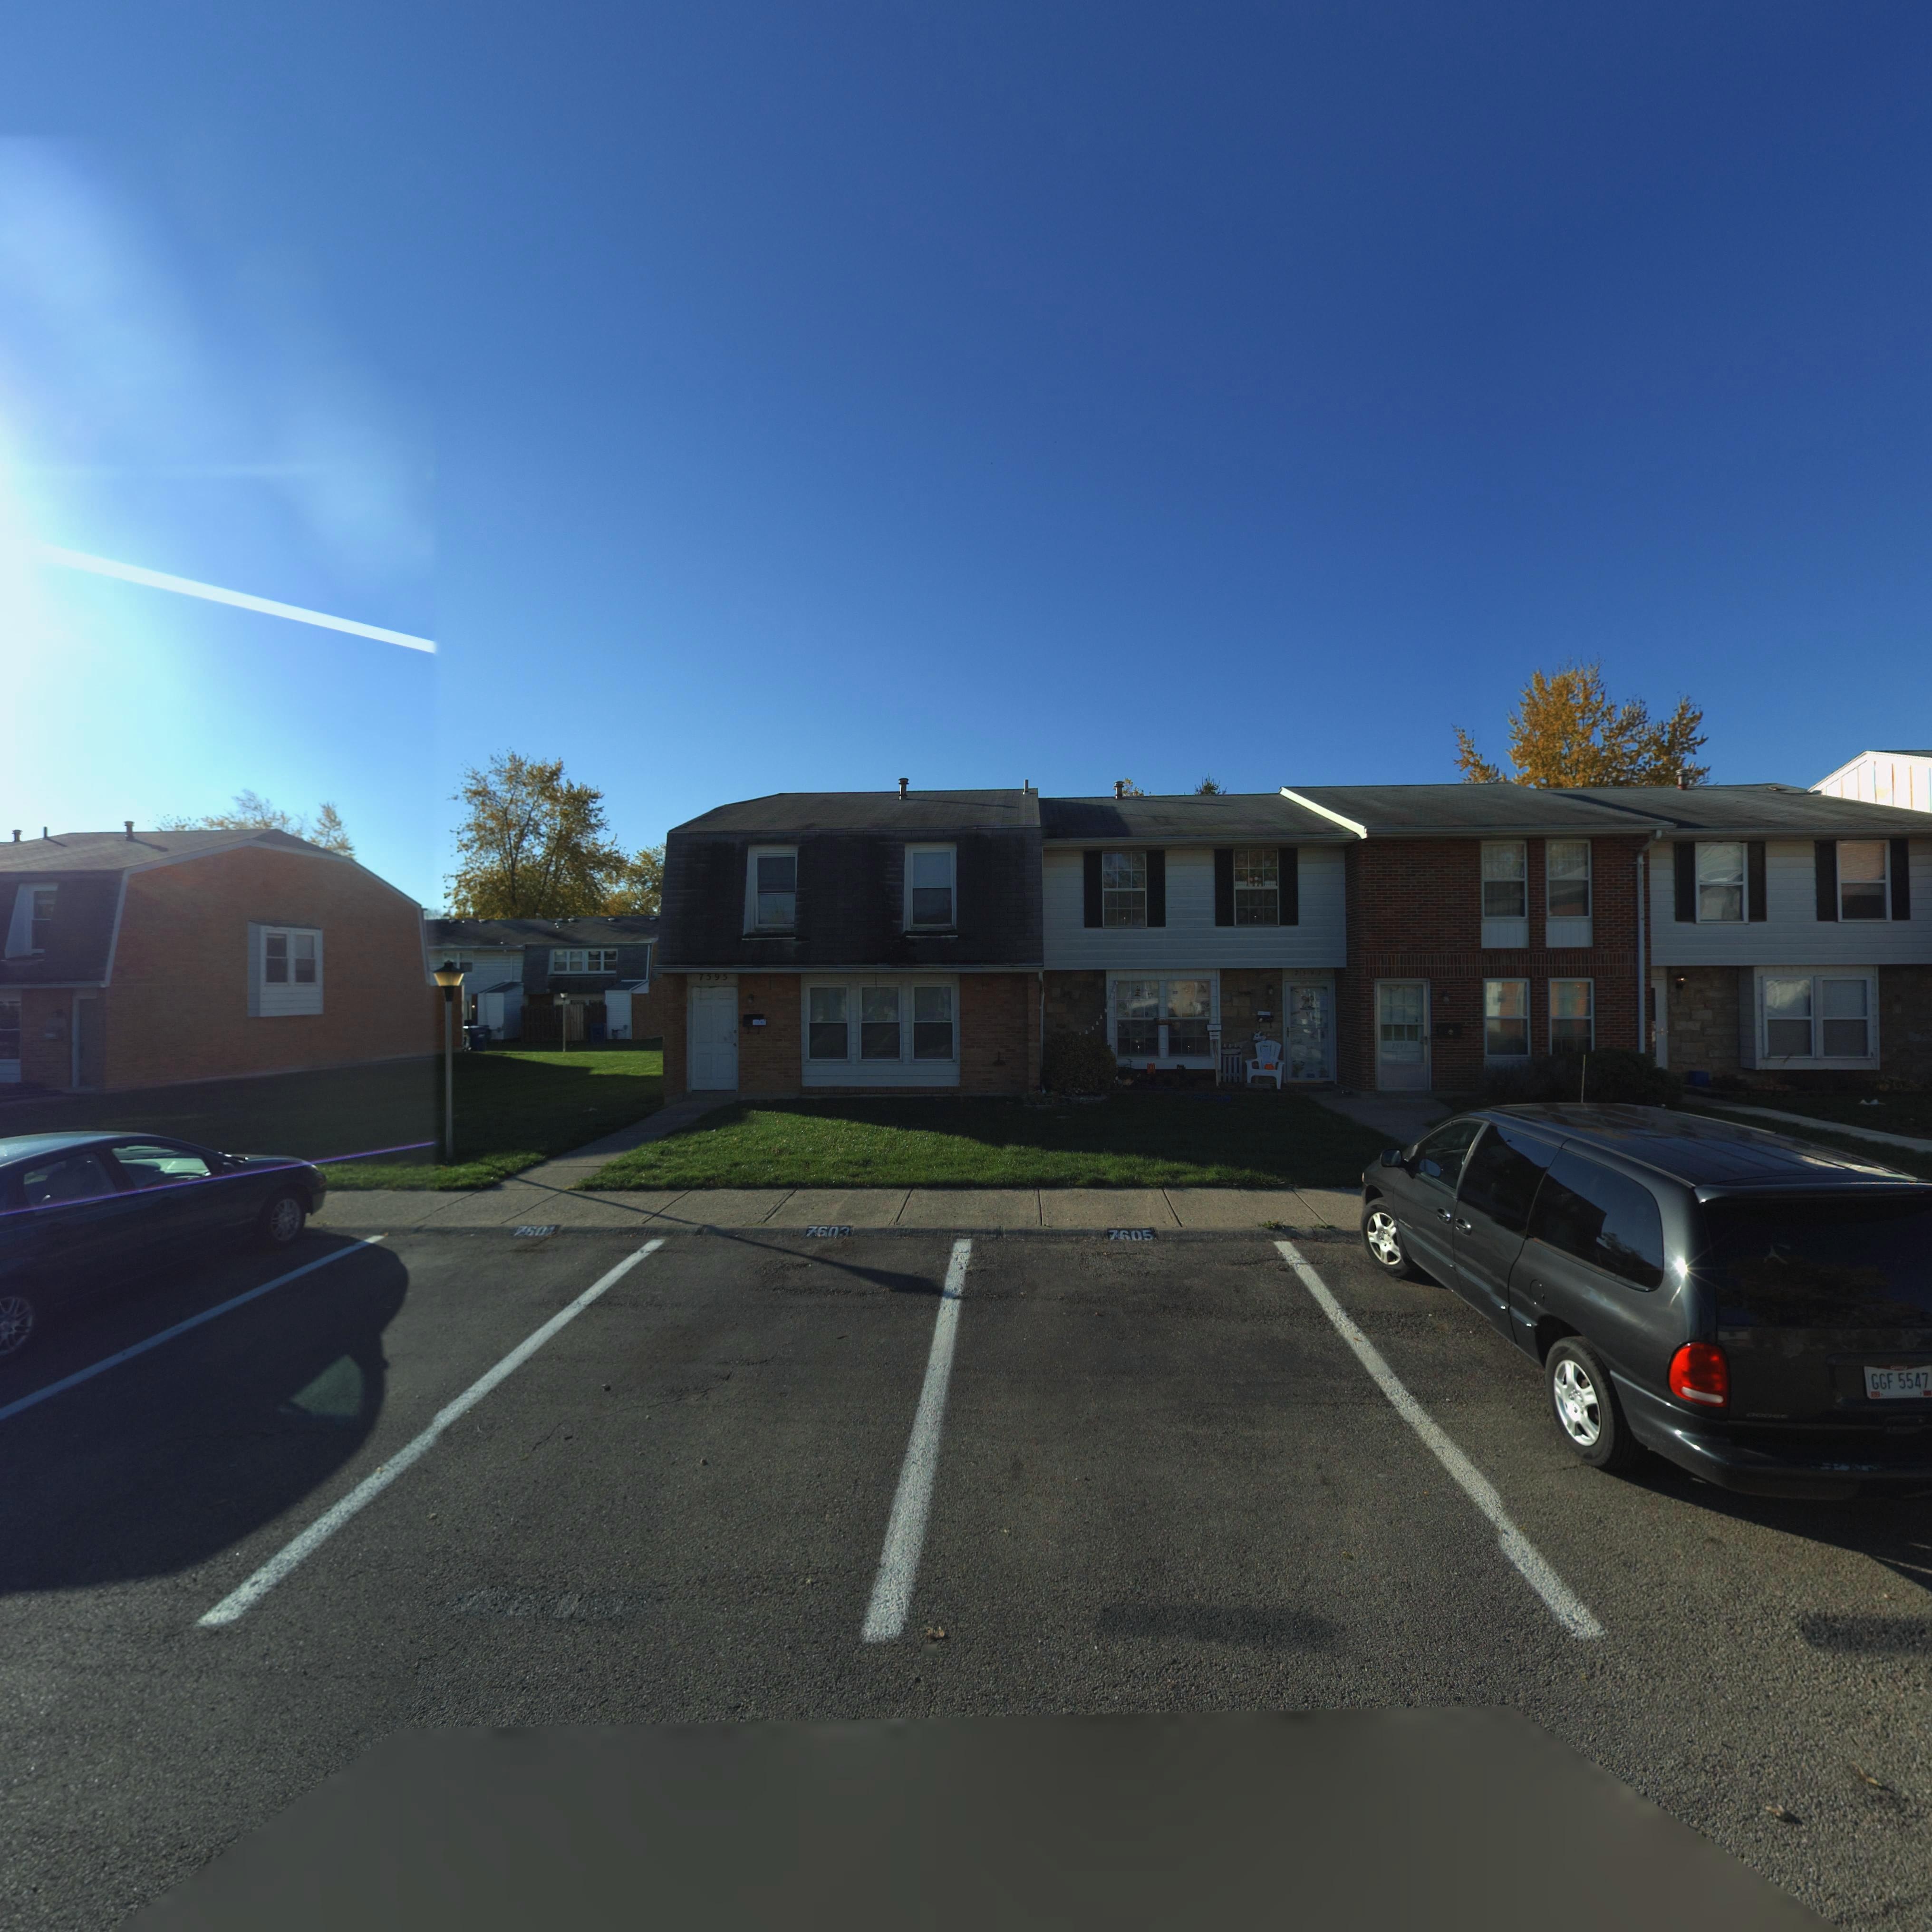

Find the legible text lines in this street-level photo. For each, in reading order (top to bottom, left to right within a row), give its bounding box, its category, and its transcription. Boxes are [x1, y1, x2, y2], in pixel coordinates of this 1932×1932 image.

[698, 973, 728, 981] StreetNumber: 7595
[1294, 970, 1323, 976] StreetNumber: 7597
[1391, 1043, 1409, 1050] StreetNumber: 7599
[511, 1225, 558, 1237] StreetNumber: 7601
[805, 1226, 850, 1237] StreetNumber: 7603
[1107, 1229, 1155, 1241] StreetNumber: 7605
[546, 1590, 586, 1623] StreetNumber: 0